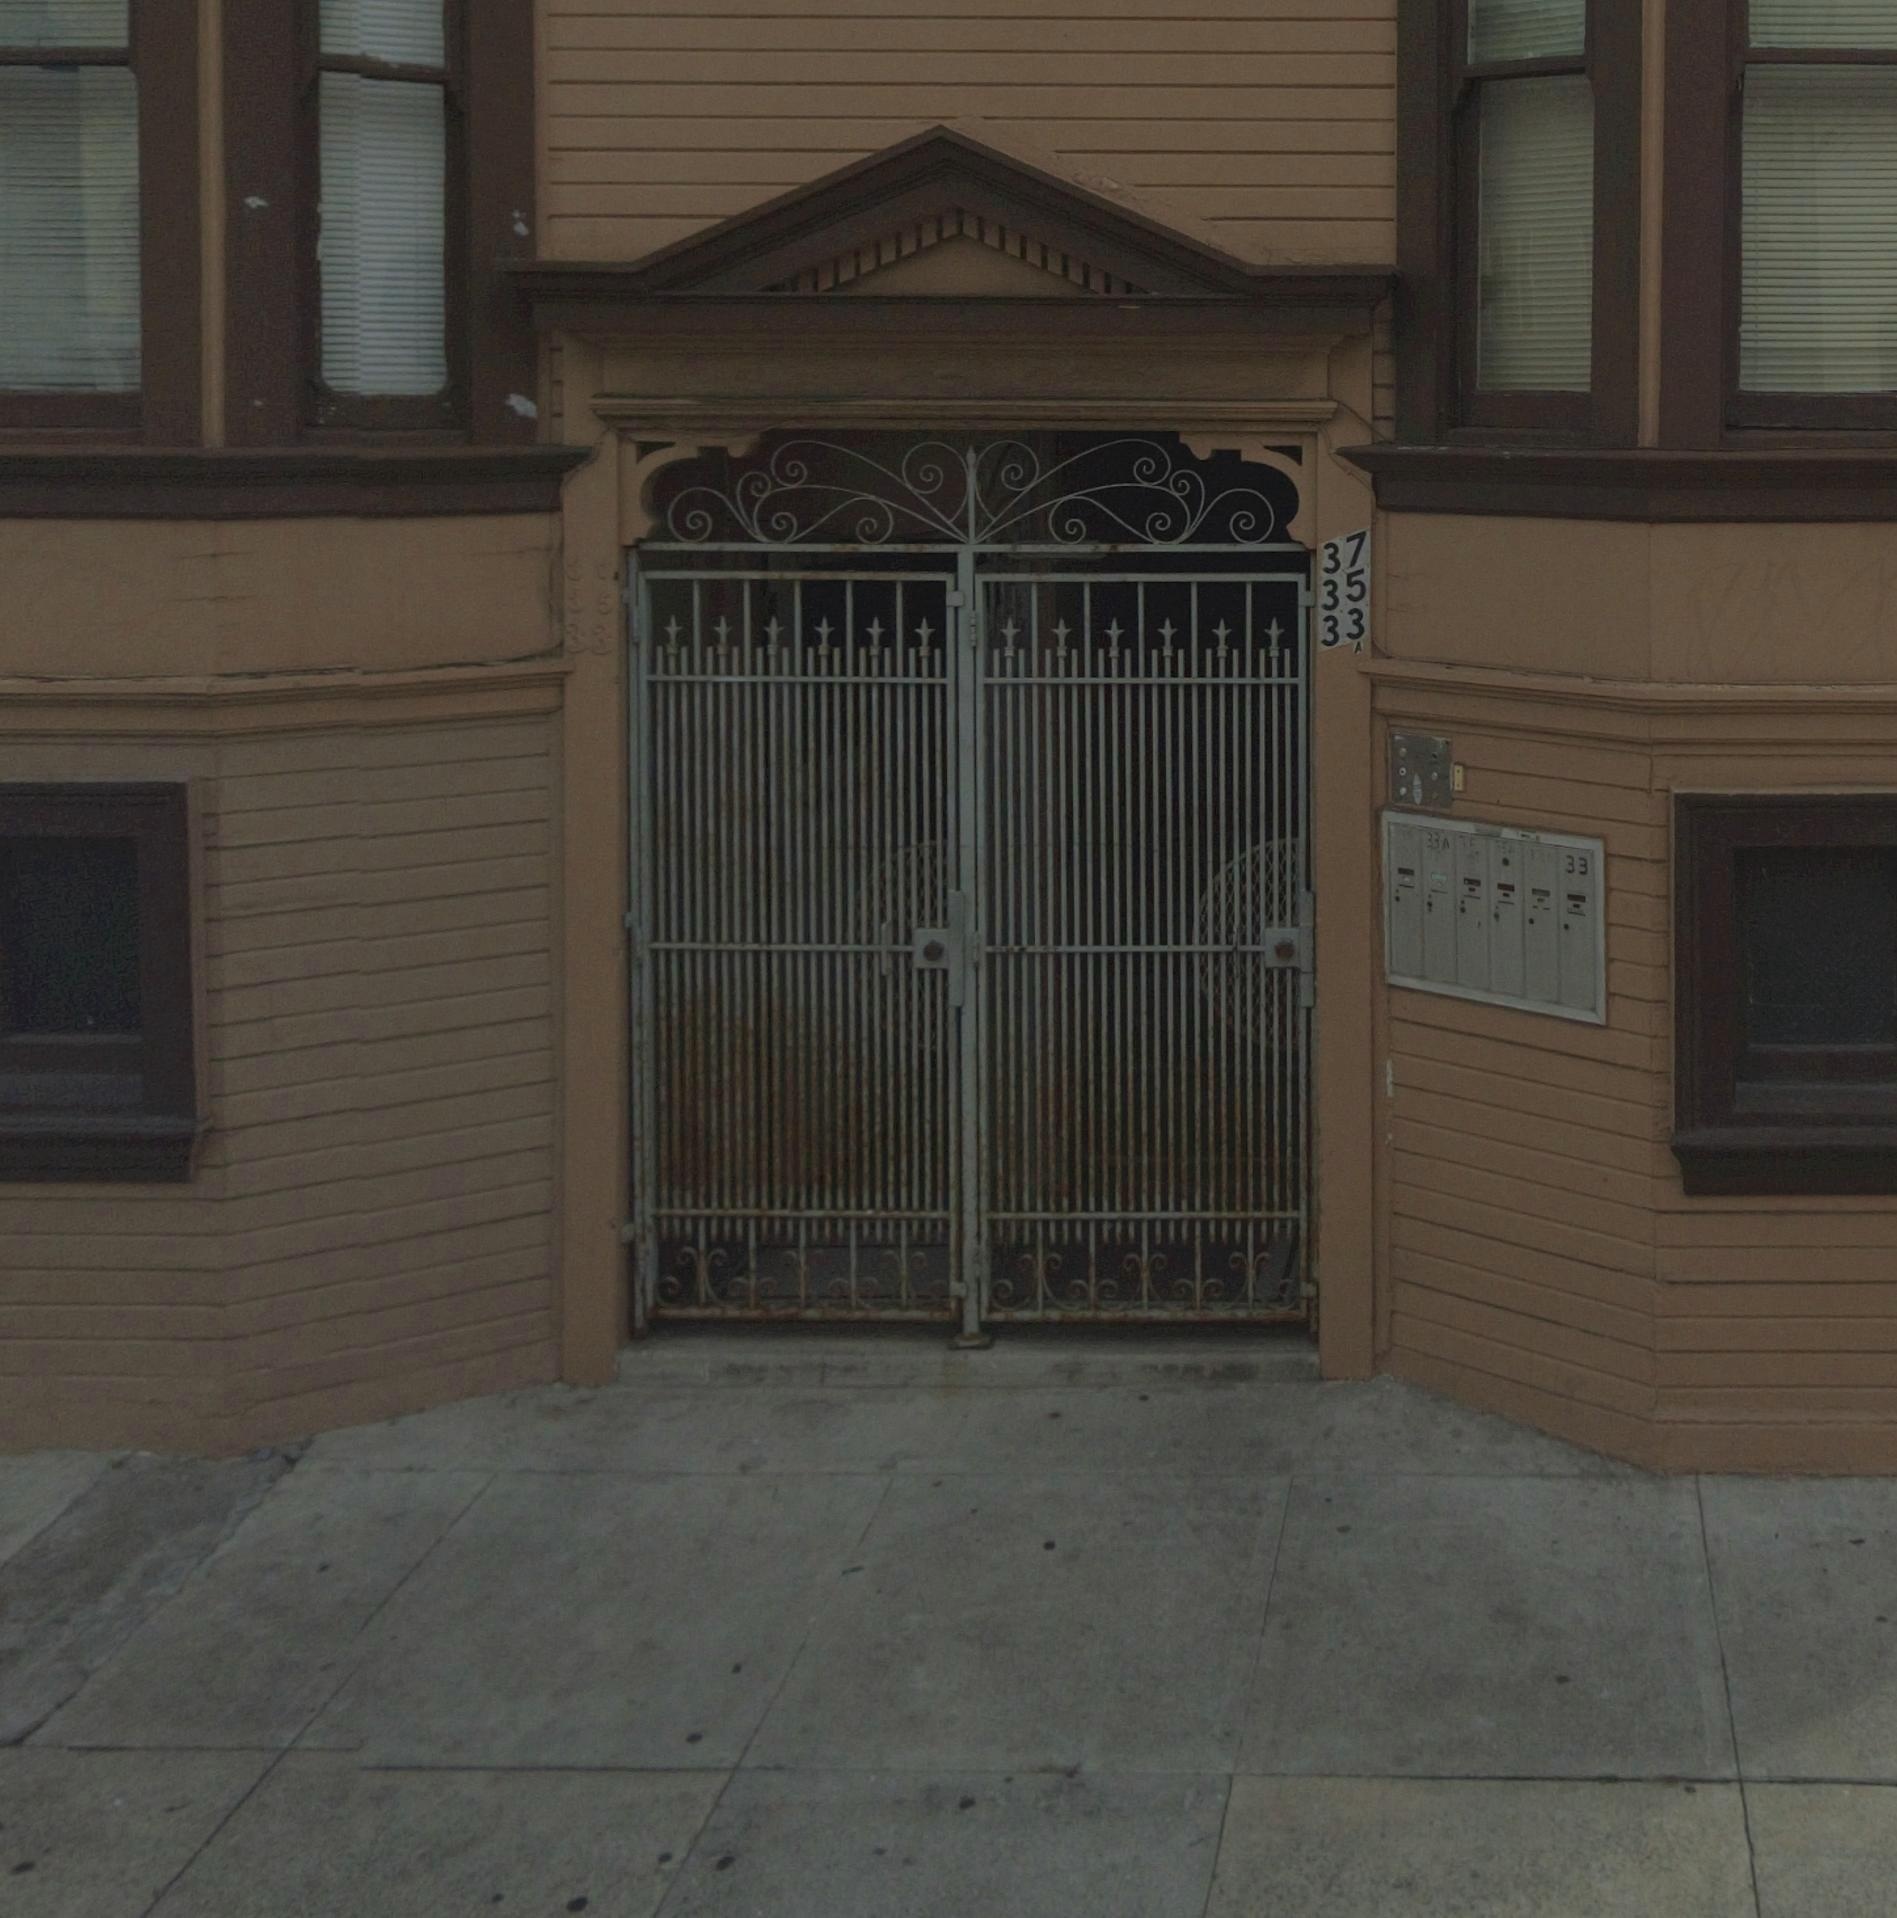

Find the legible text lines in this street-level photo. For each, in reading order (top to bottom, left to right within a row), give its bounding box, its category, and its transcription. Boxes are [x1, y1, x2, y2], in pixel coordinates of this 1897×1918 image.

[1321, 527, 1369, 579] StreetNumber: 37
[1319, 565, 1369, 613] StreetNumber: 35
[1320, 605, 1367, 649] StreetNumber: 33
[1352, 639, 1363, 654] None: A
[1425, 830, 1452, 851] StreetNumber: 33A
[1563, 853, 1590, 879] StreetNumber: 33